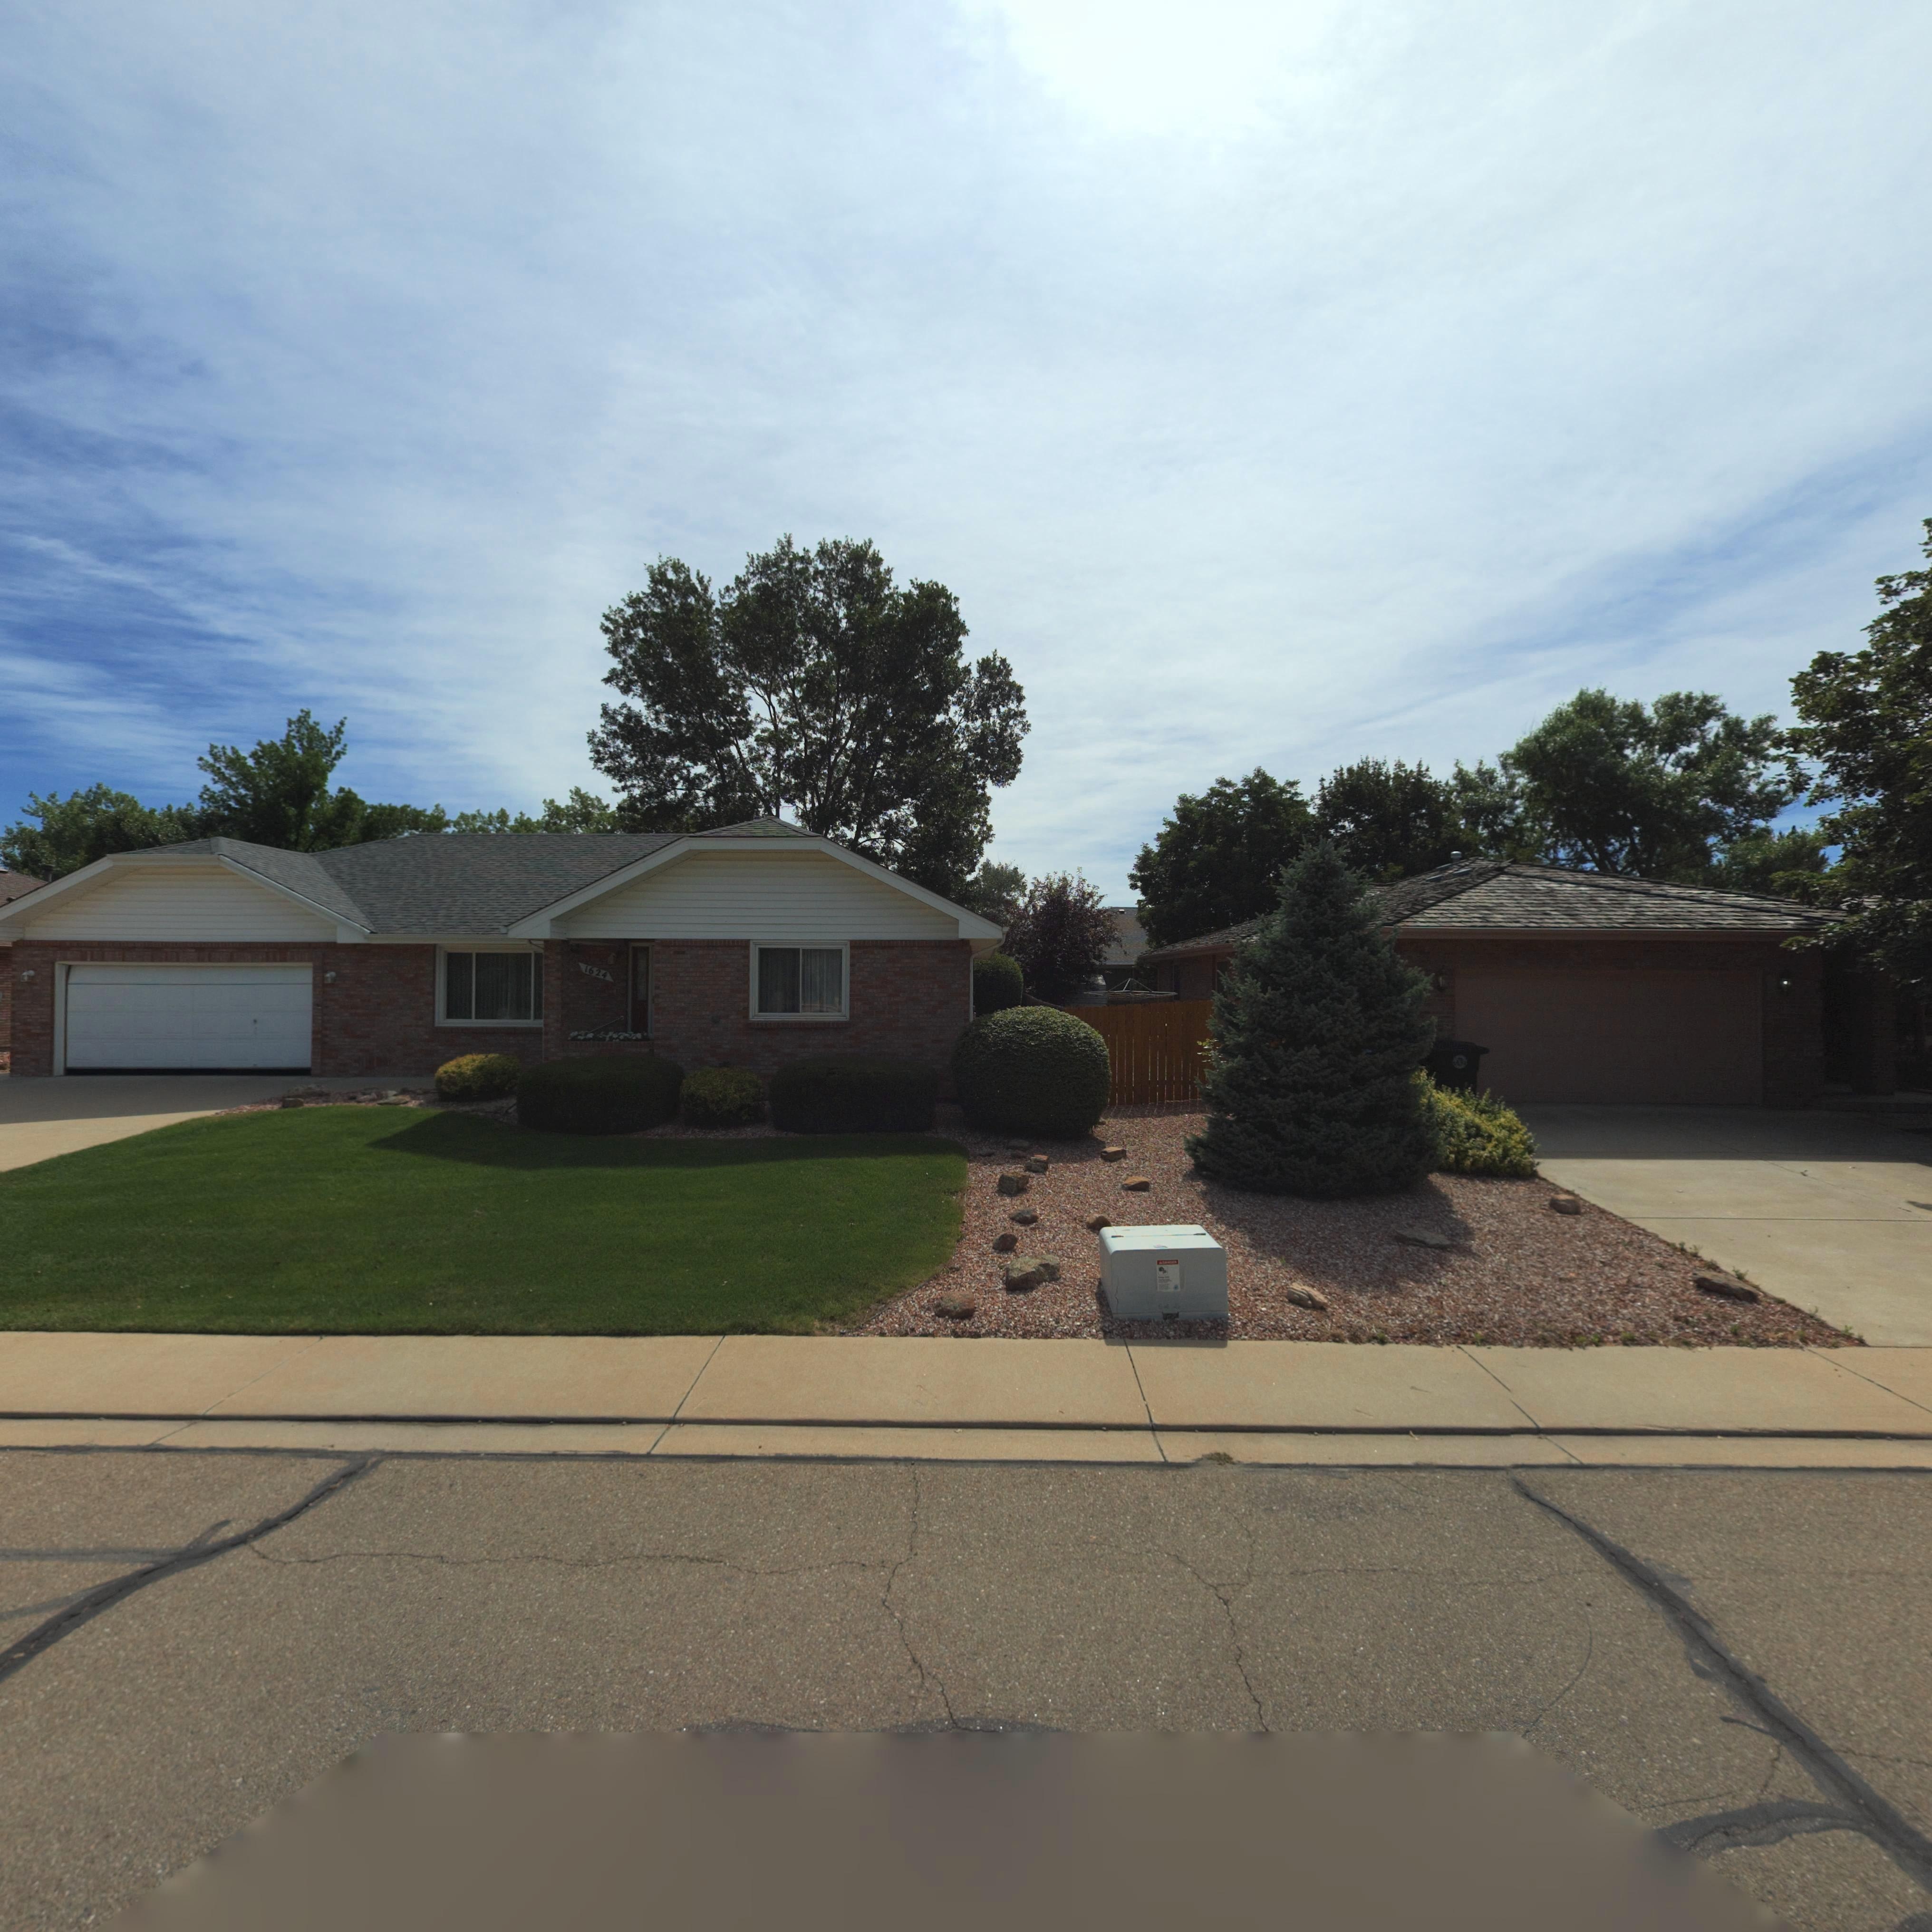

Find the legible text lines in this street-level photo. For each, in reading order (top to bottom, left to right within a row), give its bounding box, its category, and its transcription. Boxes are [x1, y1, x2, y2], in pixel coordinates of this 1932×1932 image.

[584, 964, 608, 979] StreetNumber: 1624